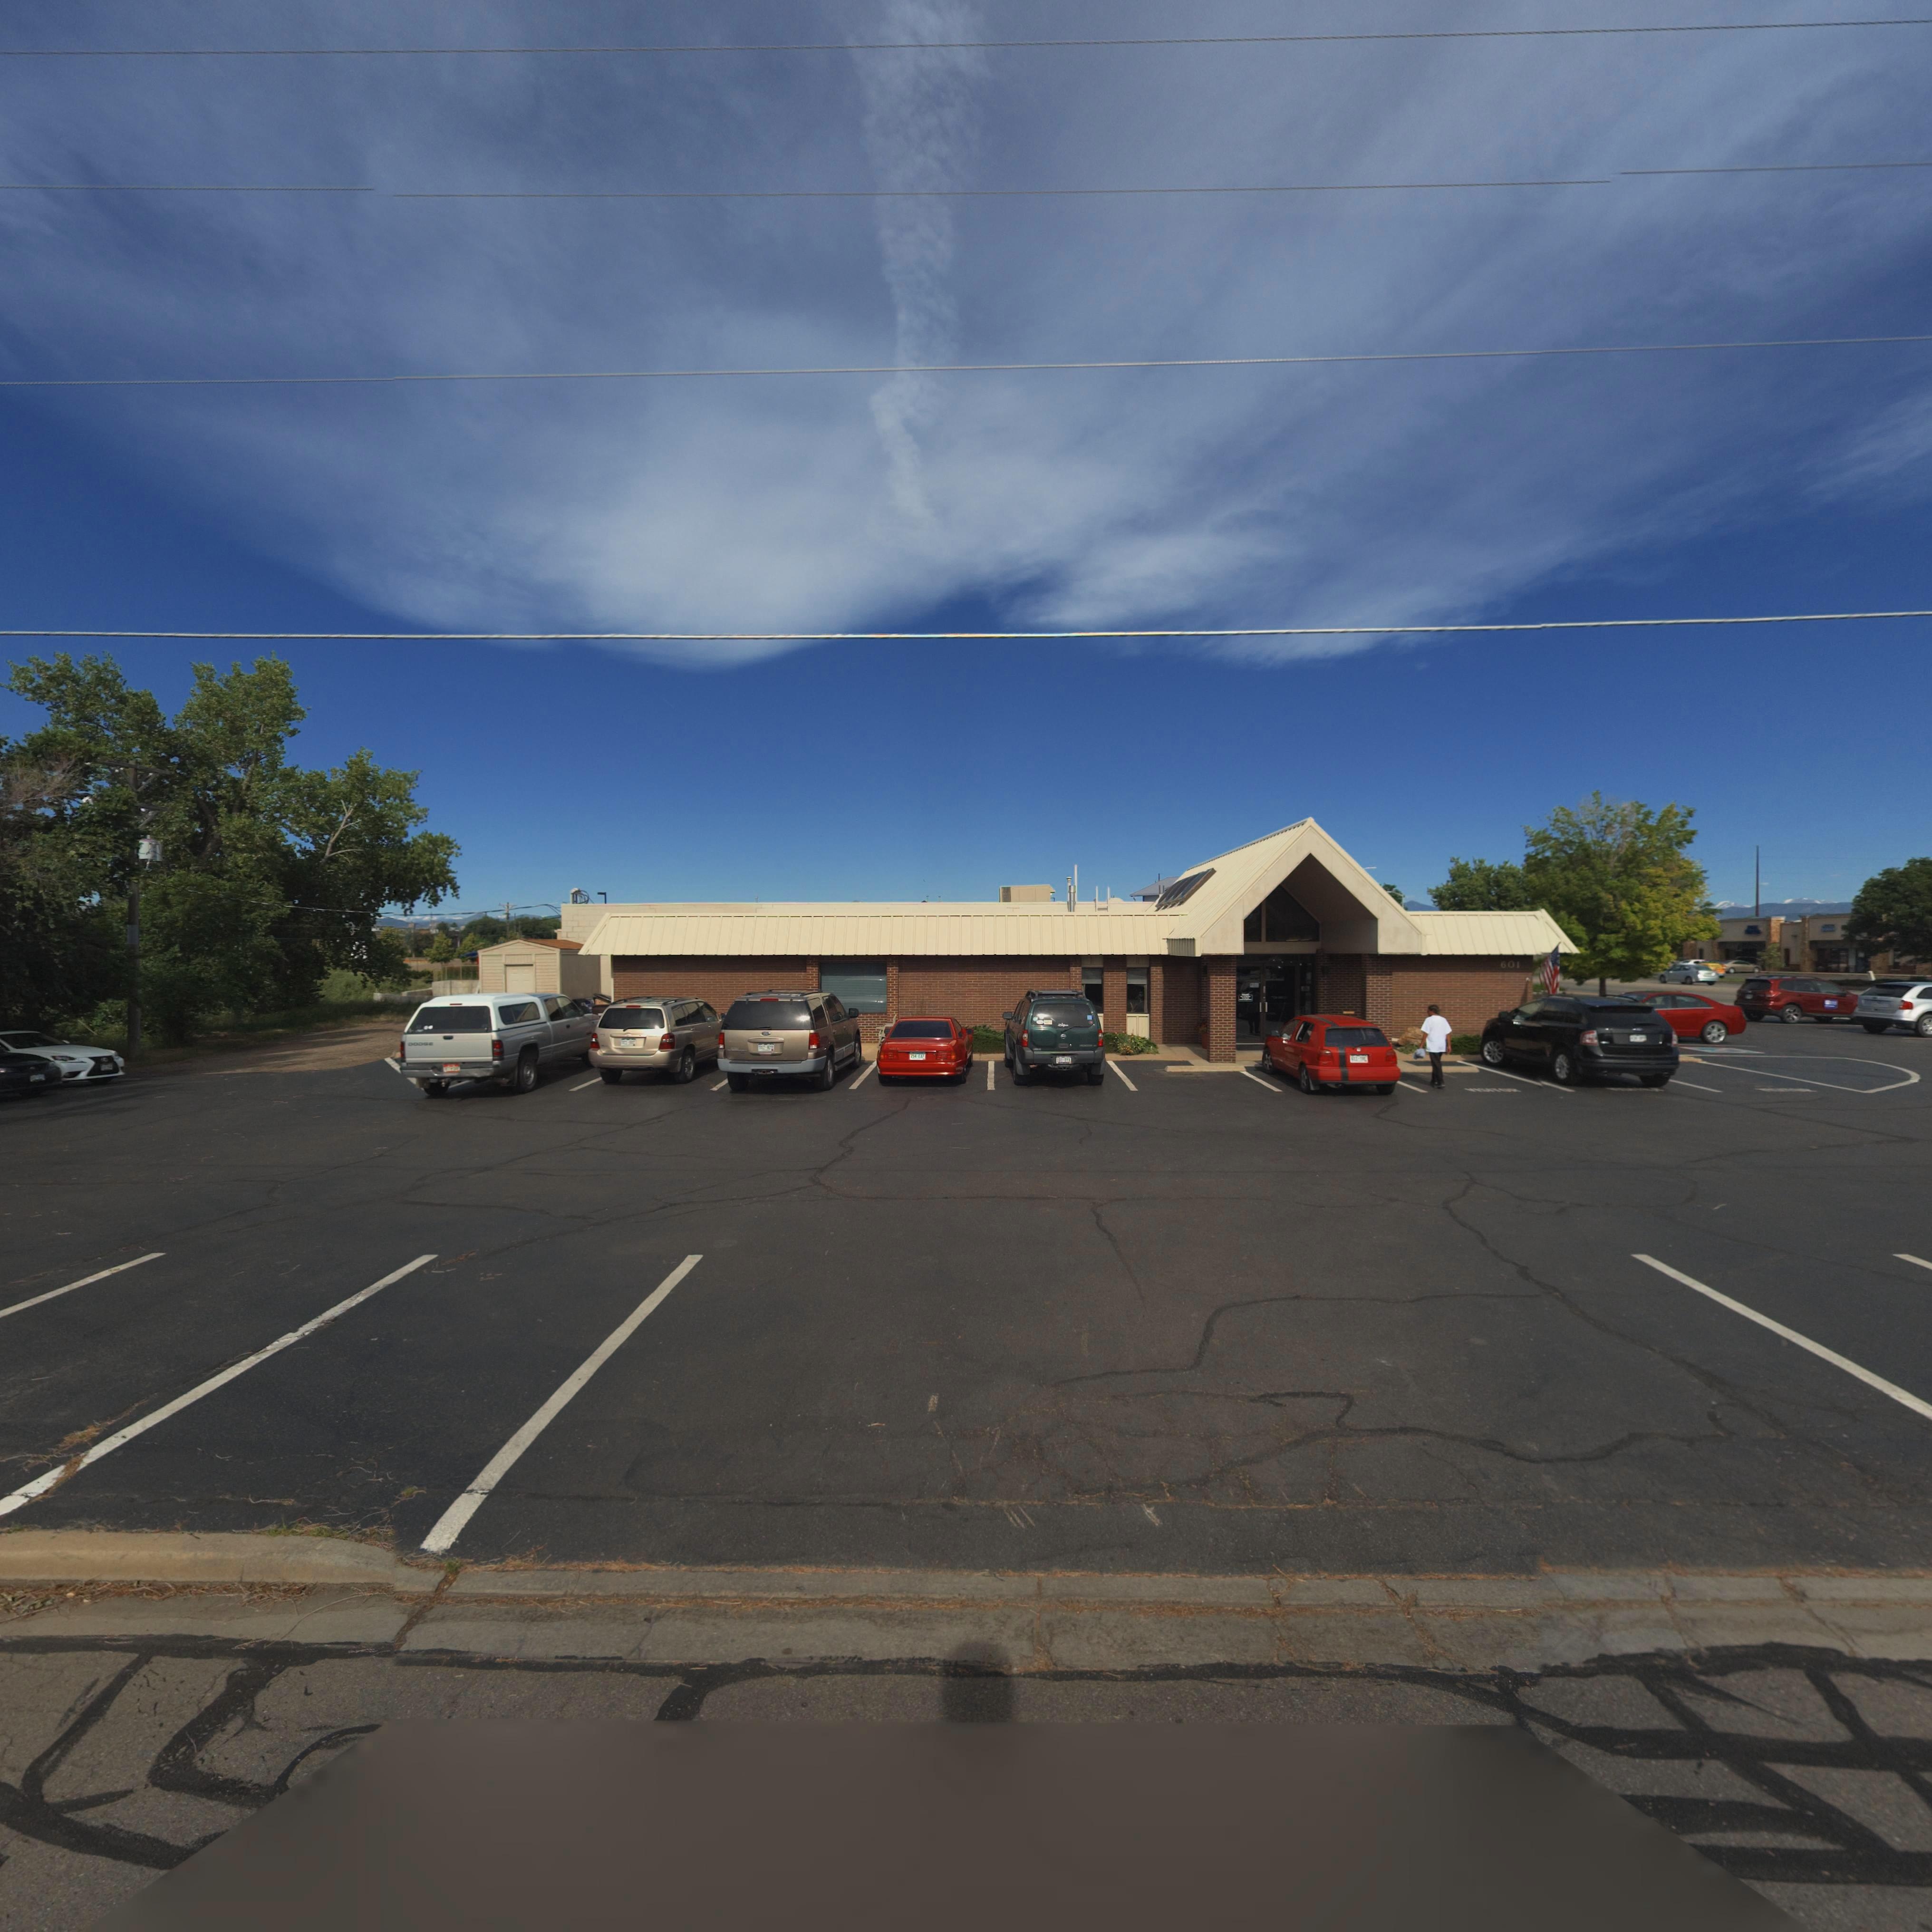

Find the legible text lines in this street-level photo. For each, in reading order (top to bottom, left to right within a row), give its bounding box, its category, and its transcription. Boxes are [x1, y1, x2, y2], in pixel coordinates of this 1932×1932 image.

[1500, 960, 1520, 969] StreetNumber: 601